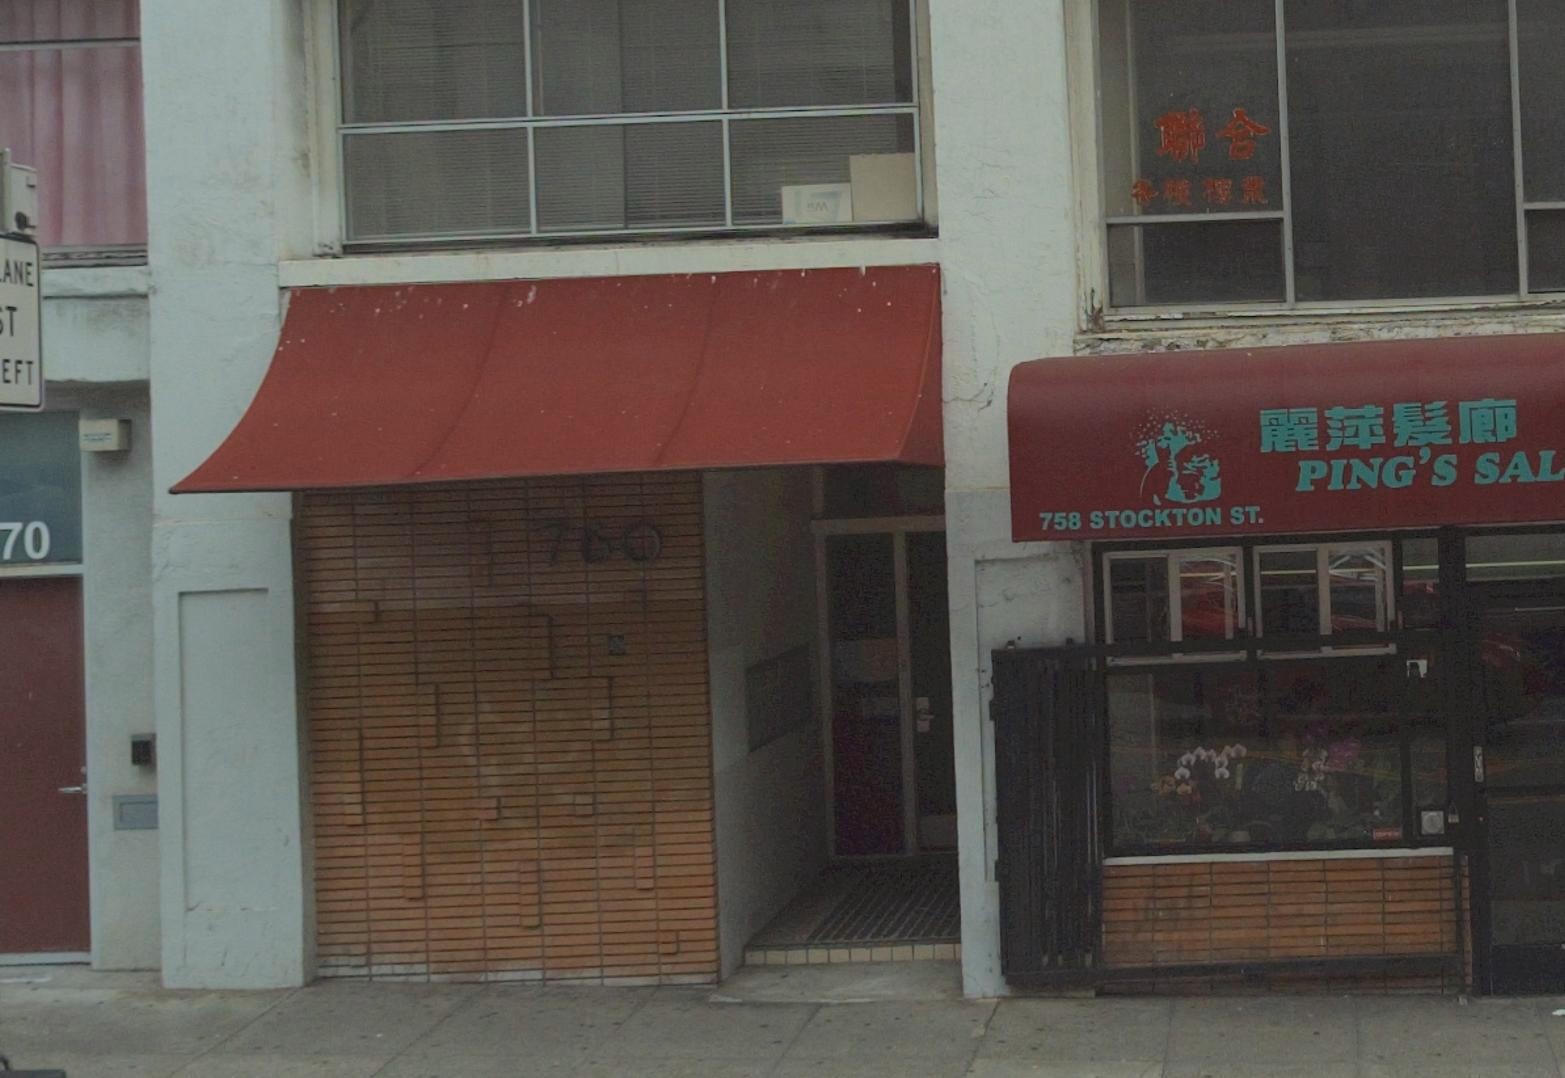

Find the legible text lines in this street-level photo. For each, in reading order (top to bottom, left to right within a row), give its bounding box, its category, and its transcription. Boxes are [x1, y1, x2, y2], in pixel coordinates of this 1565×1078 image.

[0, 253, 39, 294] None: ANE
[3, 300, 22, 344] None: T
[0, 352, 38, 390] None: EFT
[1290, 440, 1565, 497] BusinessName: PING'S SAL
[0, 514, 57, 566] StreetNumber: 70
[538, 516, 671, 571] StreetNumber: 760
[1036, 508, 1086, 535] StreetNumber: 758
[1086, 501, 1269, 533] StreetName: STOCKTON ST.
[1473, 745, 1485, 765] None: PU